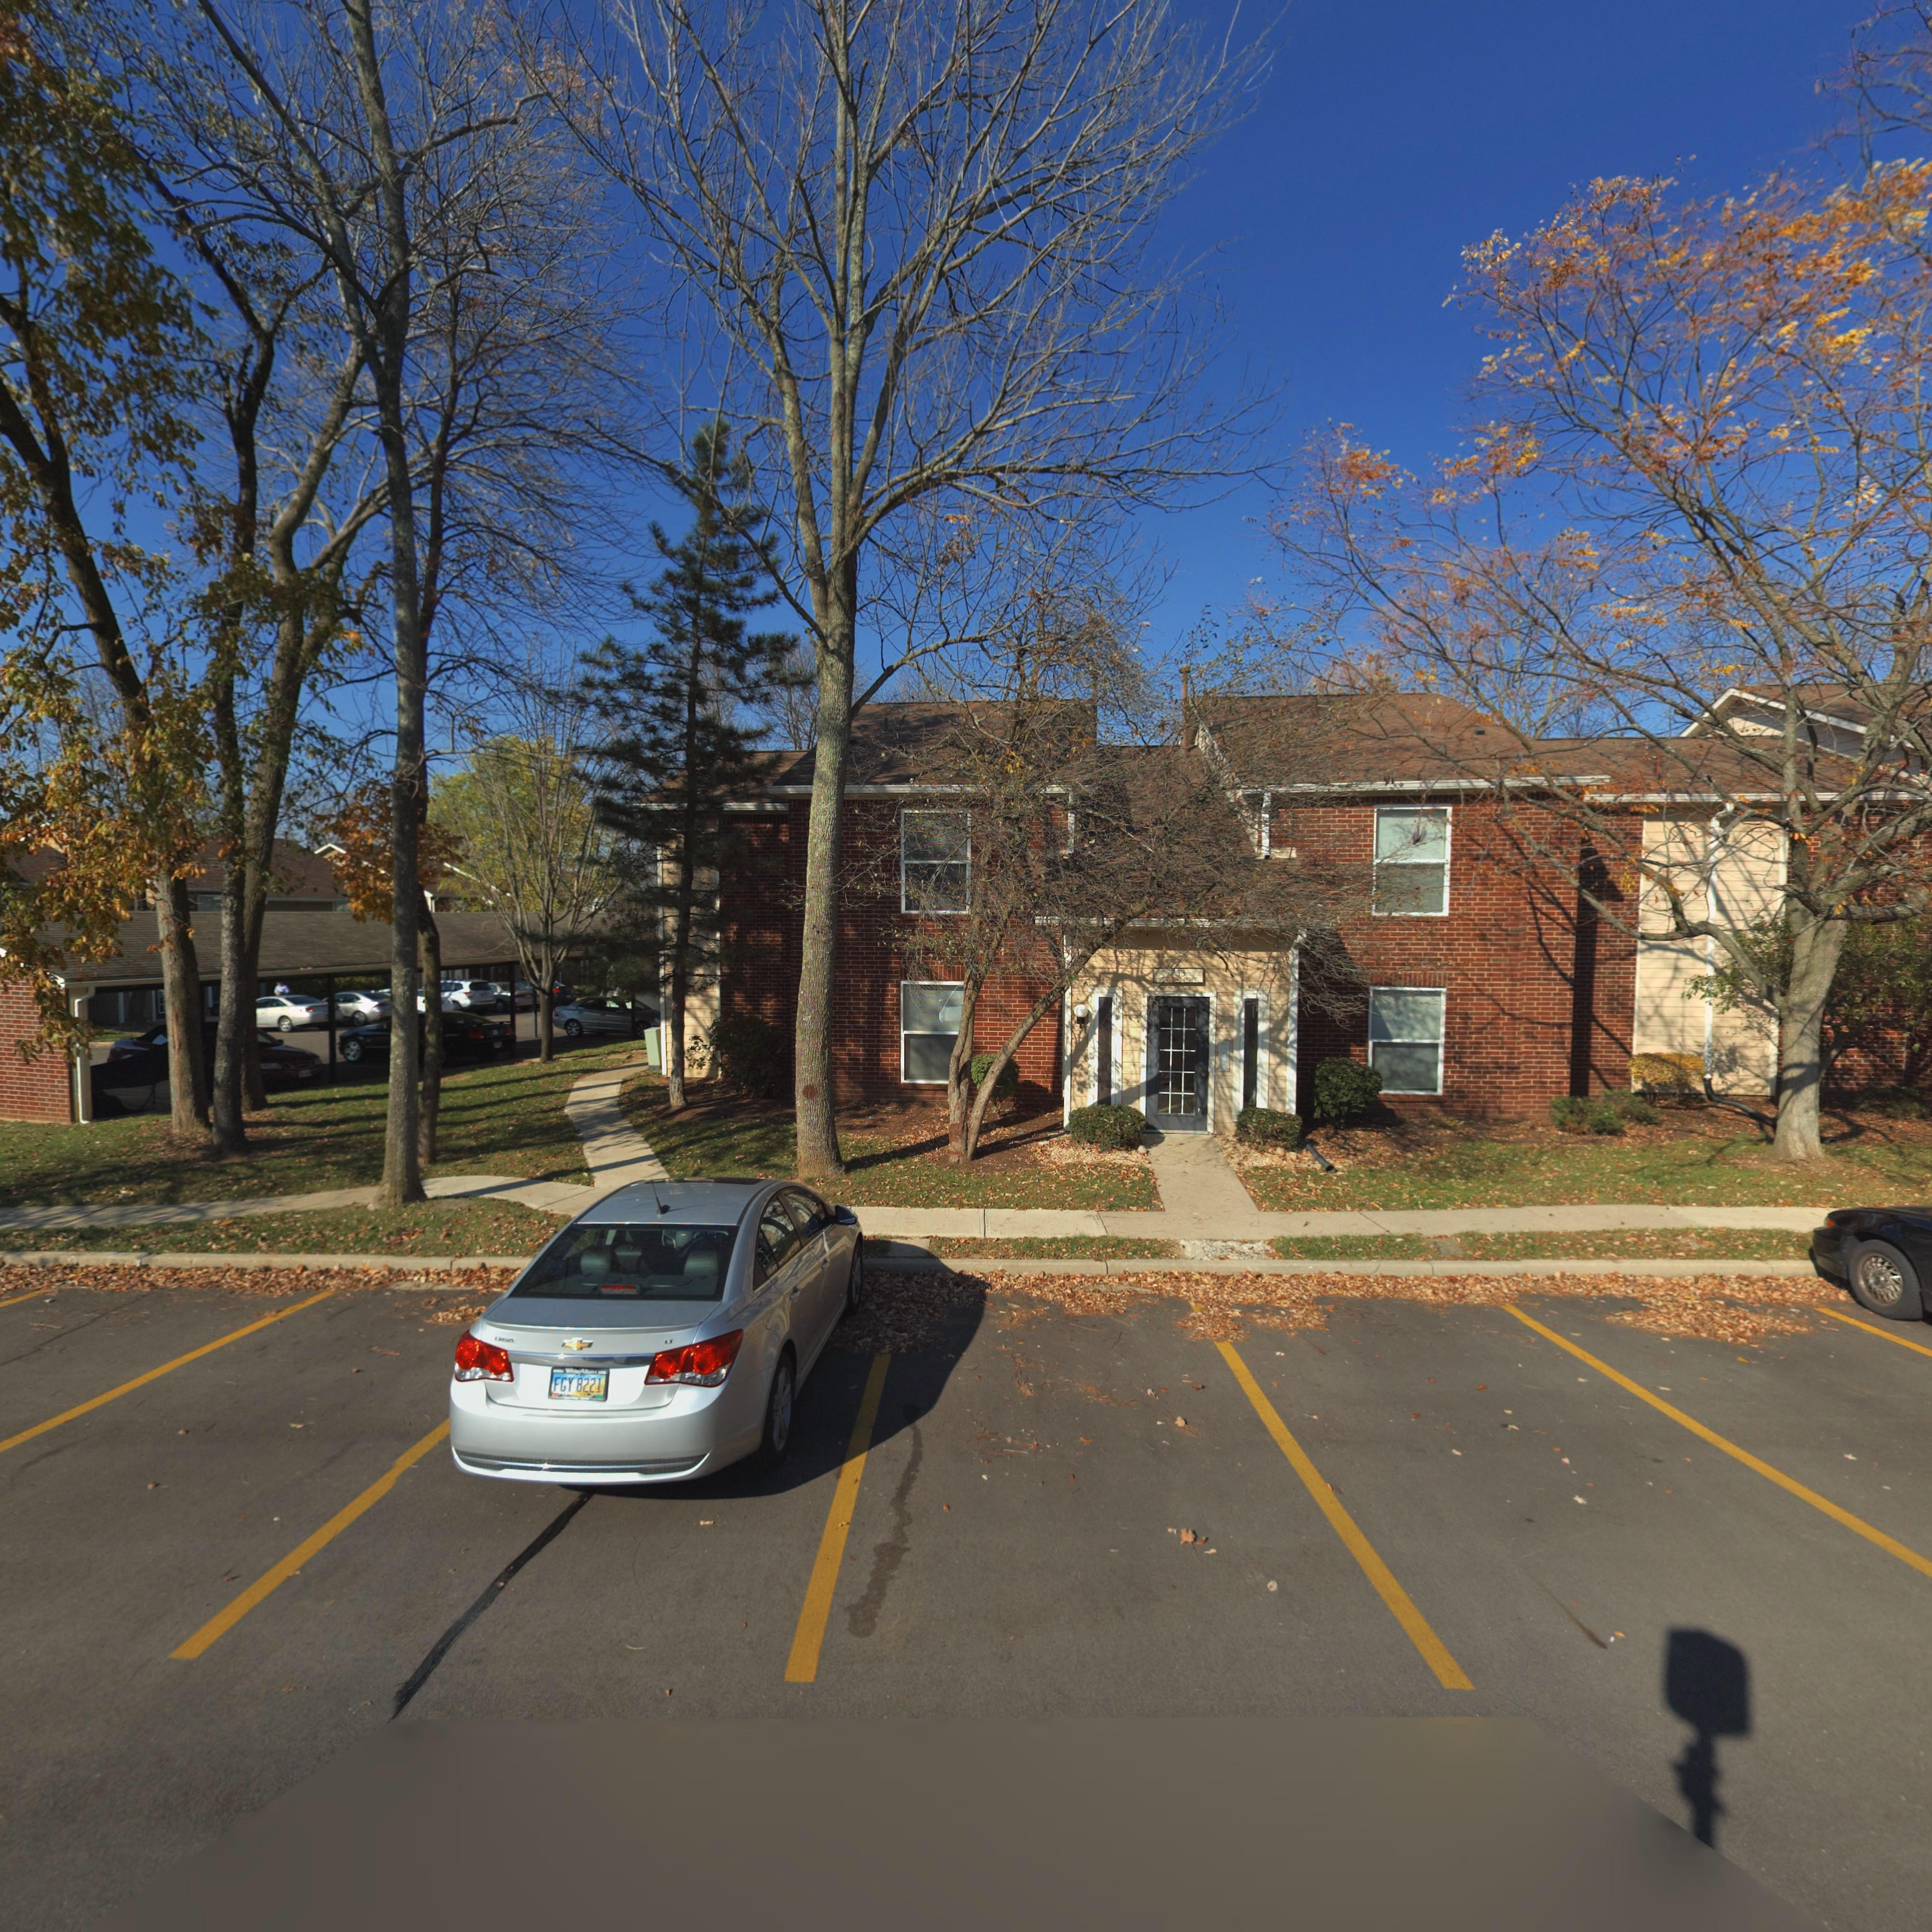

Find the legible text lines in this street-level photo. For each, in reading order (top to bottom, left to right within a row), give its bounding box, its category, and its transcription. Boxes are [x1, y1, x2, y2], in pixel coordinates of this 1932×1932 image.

[1175, 968, 1187, 977] StreetNumber: 33
[552, 1375, 602, 1394] None: FGY 8221